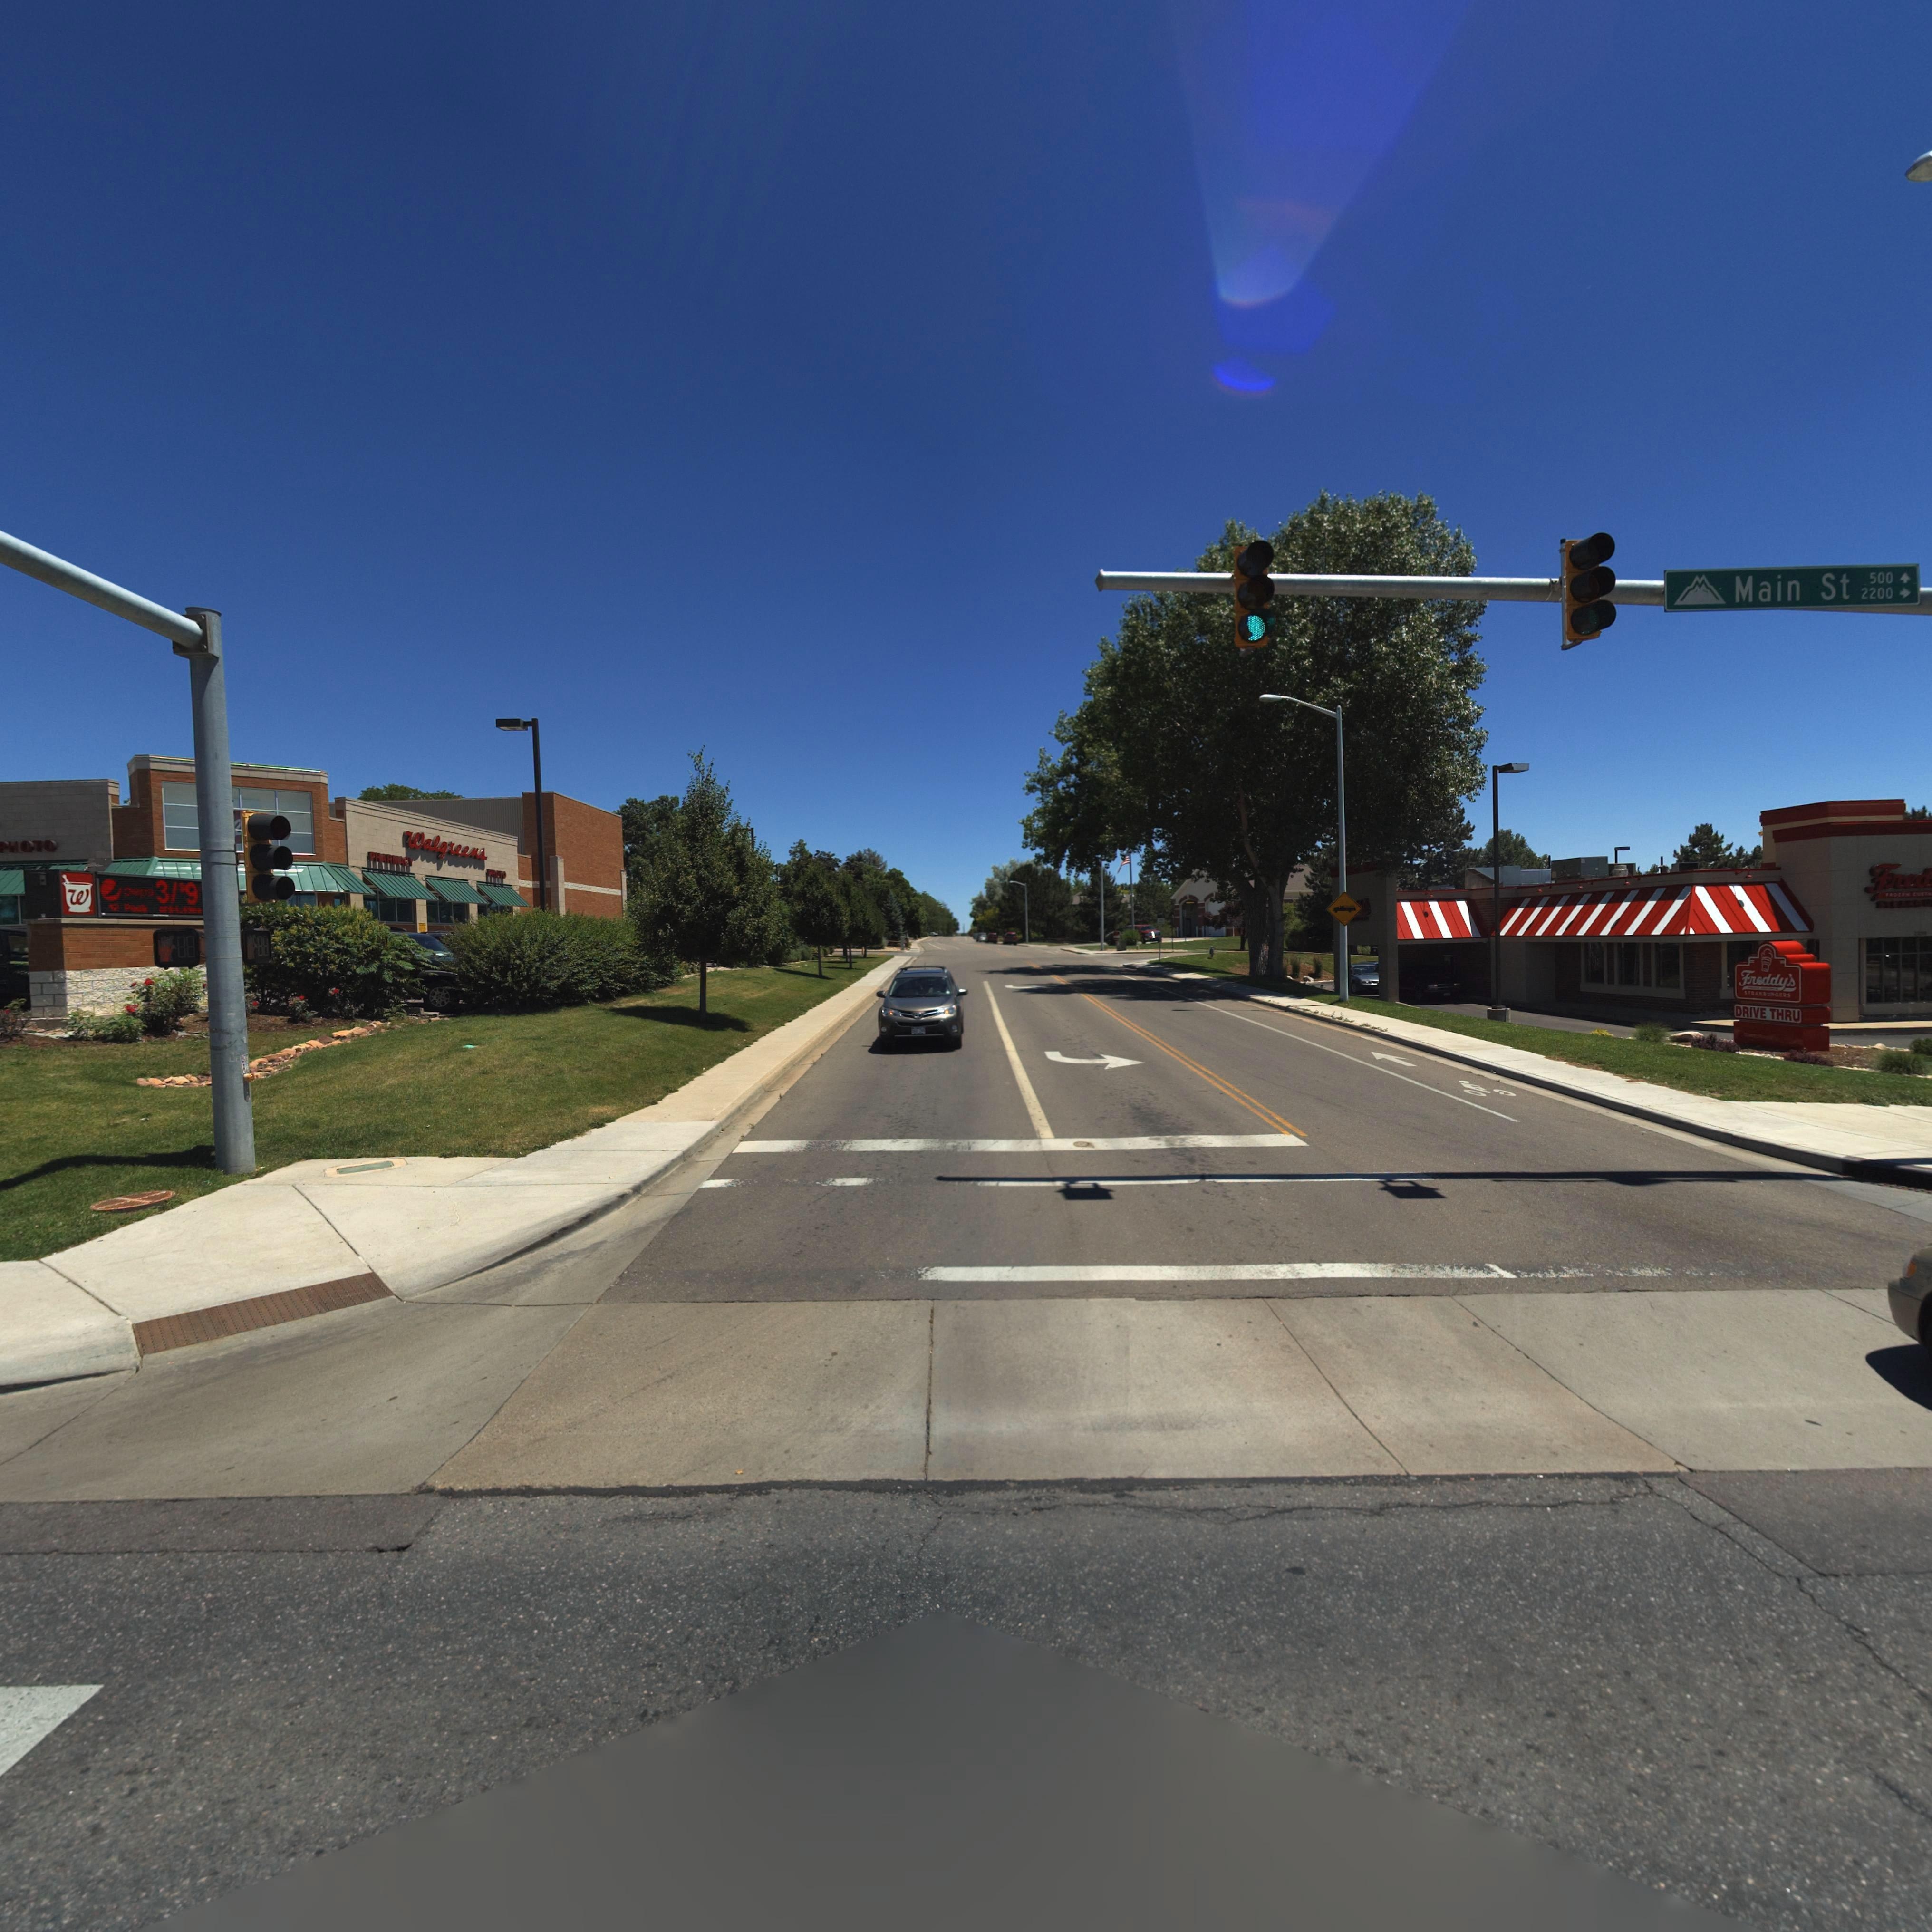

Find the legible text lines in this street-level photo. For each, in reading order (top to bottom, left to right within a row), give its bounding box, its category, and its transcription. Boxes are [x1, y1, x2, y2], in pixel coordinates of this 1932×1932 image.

[1734, 571, 1850, 603] StreetName: Main St
[1869, 571, 1893, 584] StreetNumberRange: 500
[1860, 586, 1911, 599] StreetNumberRange: 2200->
[405, 830, 488, 860] BusinessName: Walgreens
[1866, 862, 1918, 894] BusinessName: Fre
[1738, 969, 1795, 991] BusinessName: Freddy*s